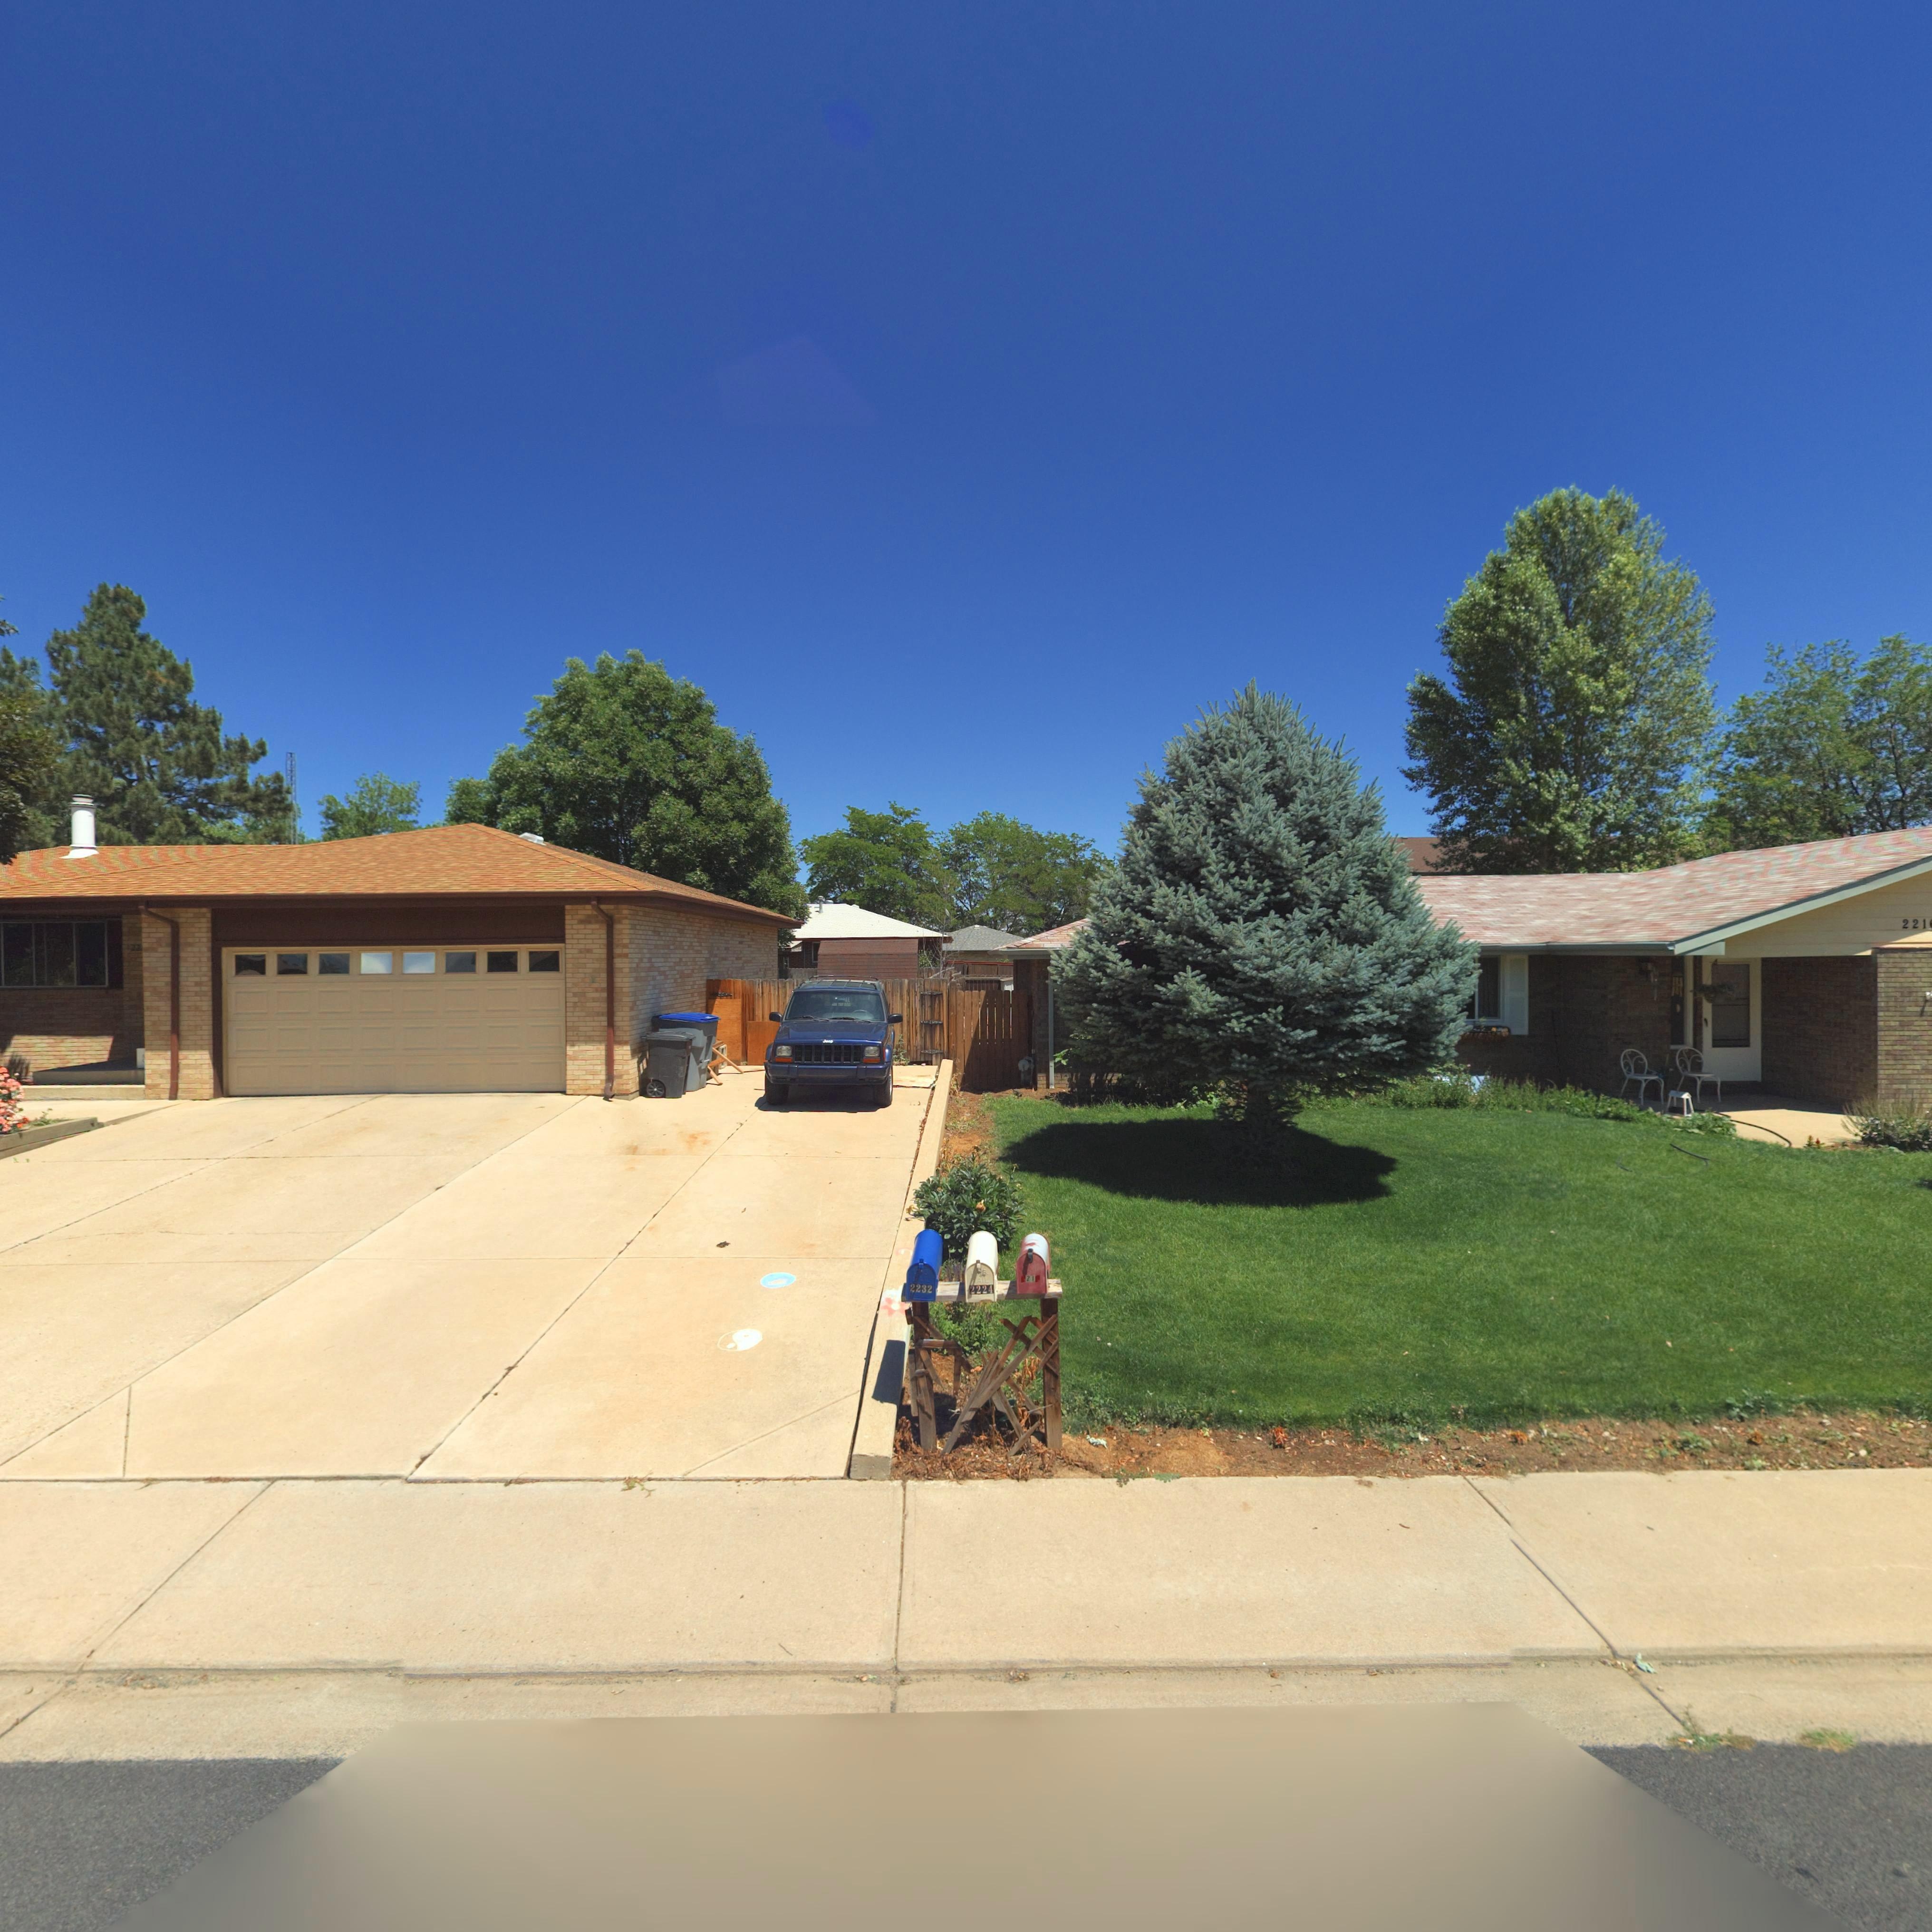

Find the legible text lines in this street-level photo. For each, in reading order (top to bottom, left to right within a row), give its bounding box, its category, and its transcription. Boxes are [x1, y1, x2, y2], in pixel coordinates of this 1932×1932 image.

[1891, 912, 1929, 933] StreetNumber: 221
[1026, 1275, 1034, 1281] StreetNumber: 21
[909, 1283, 933, 1294] StreetNumber: 2232
[969, 1284, 994, 1294] StreetNumber: 2224